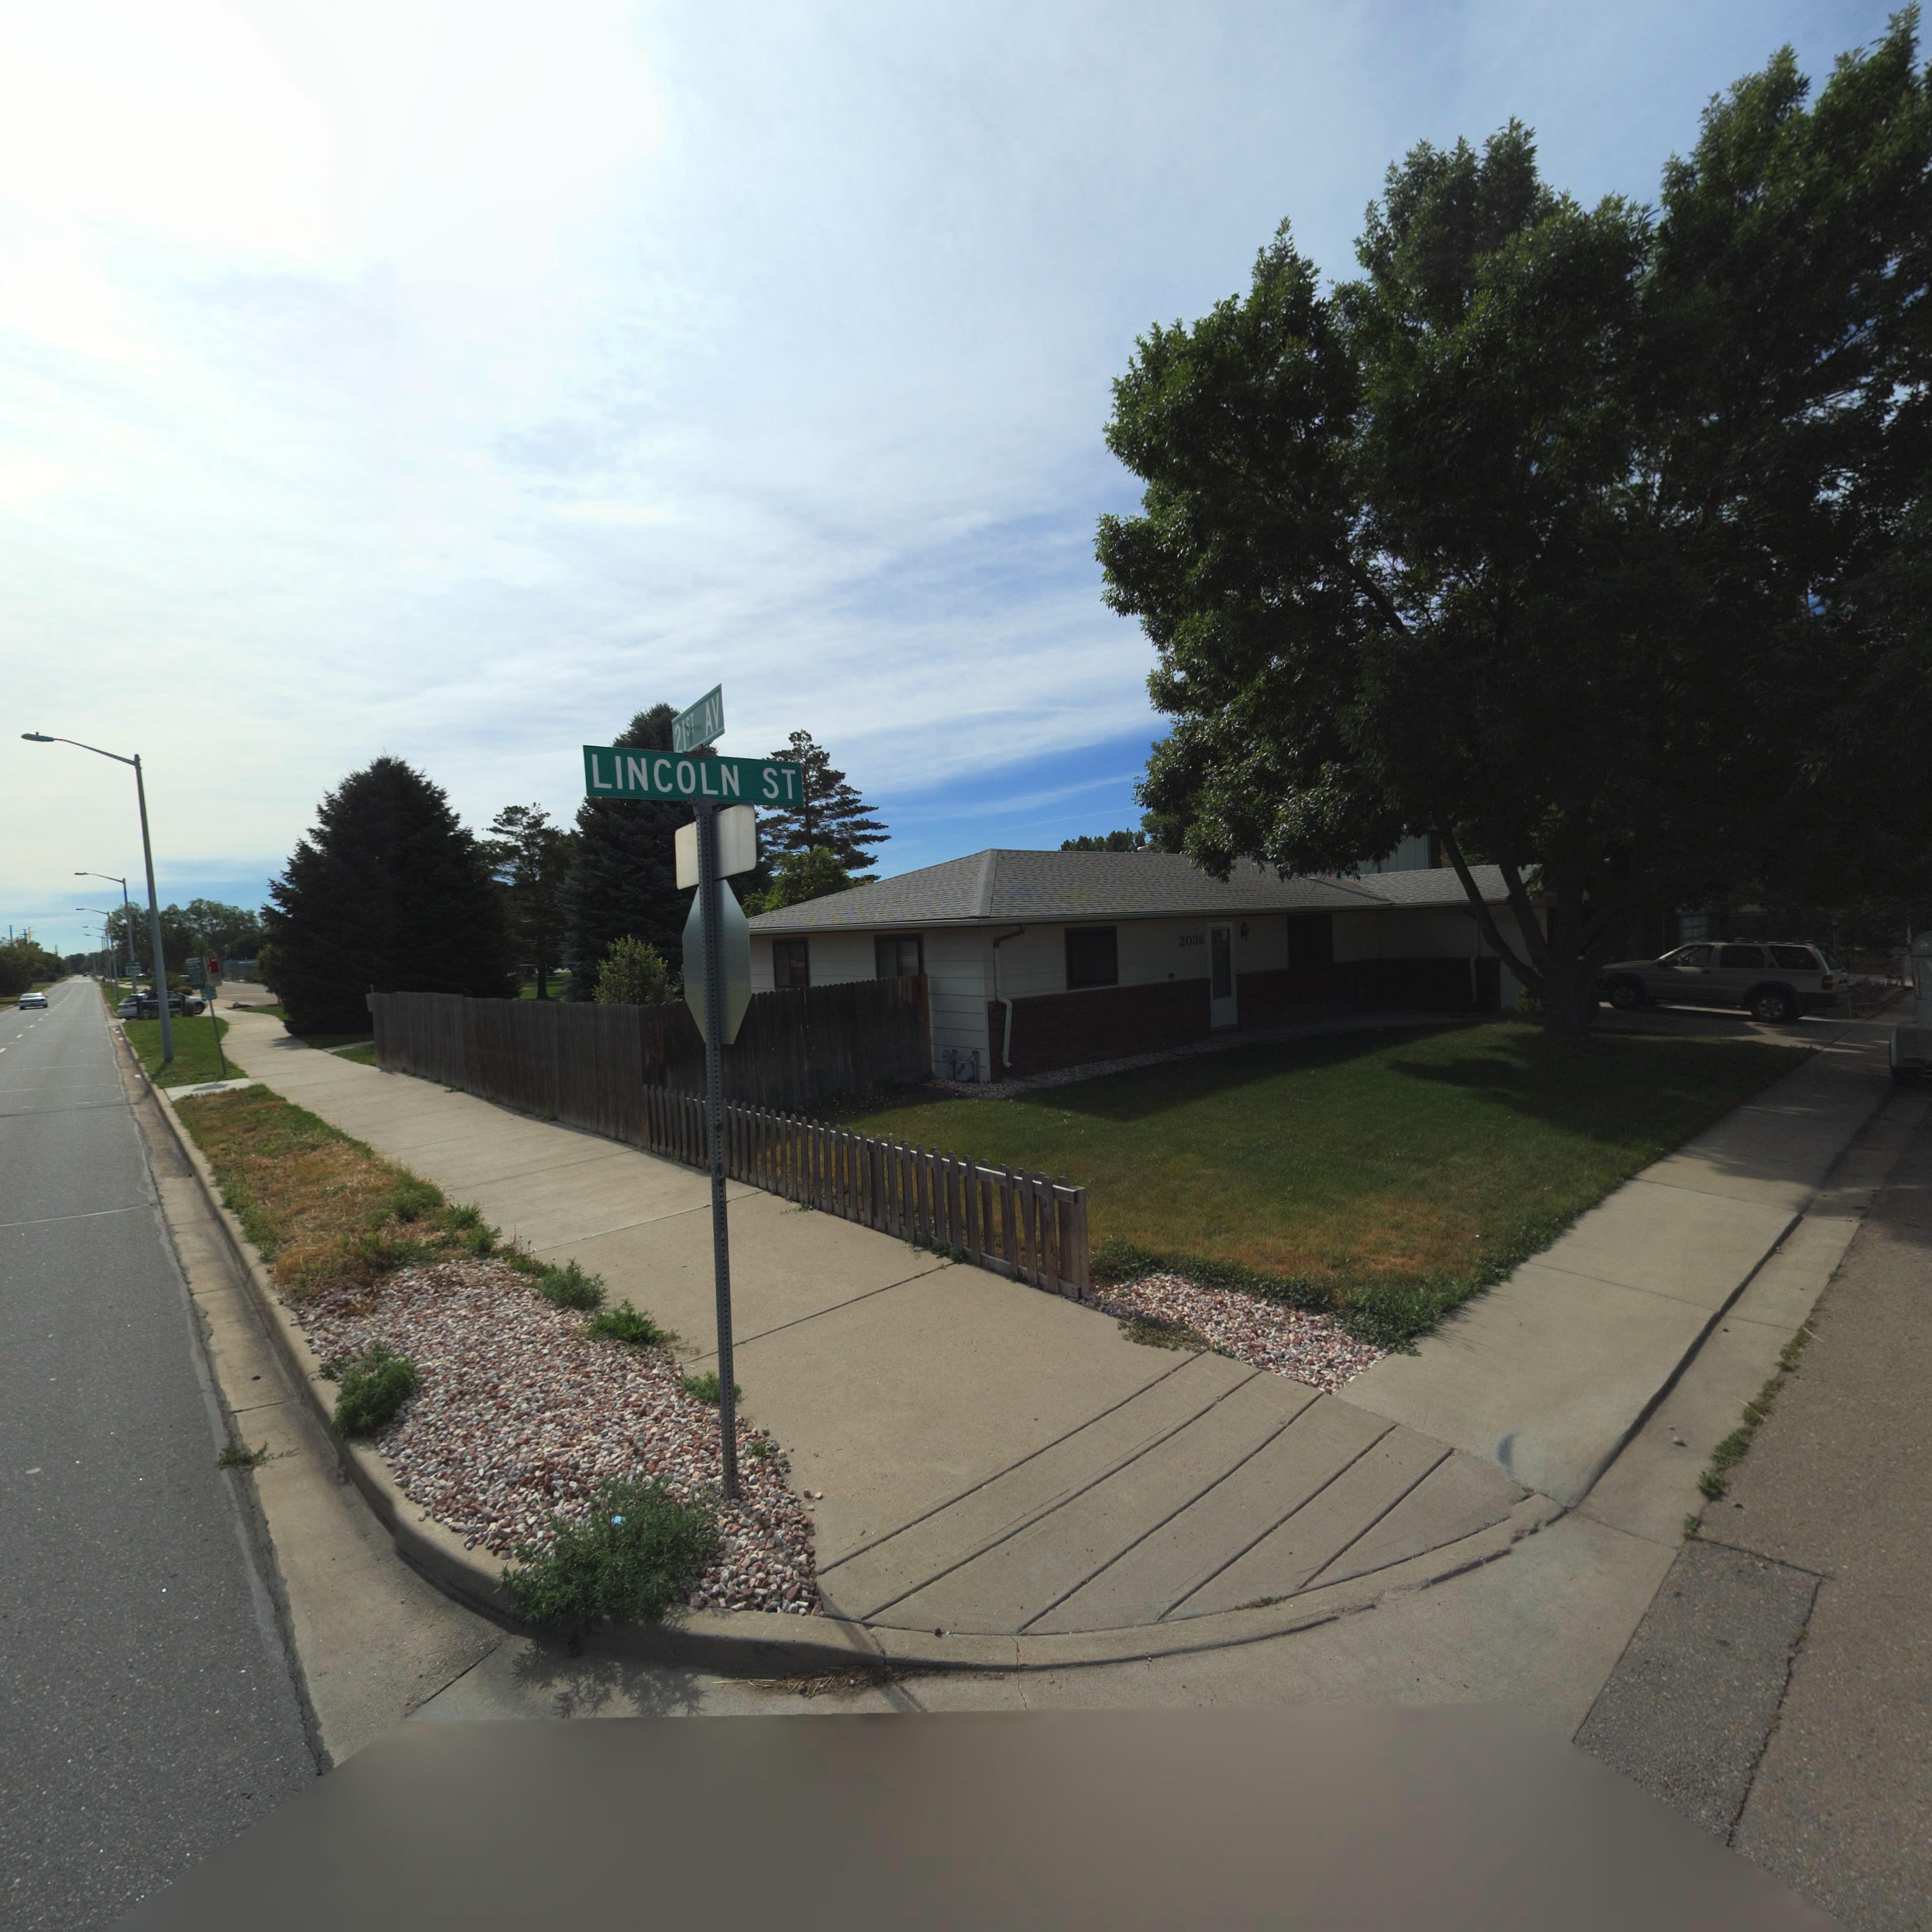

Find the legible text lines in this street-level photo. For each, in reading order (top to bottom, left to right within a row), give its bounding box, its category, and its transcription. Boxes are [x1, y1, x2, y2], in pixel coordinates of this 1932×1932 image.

[672, 690, 720, 754] StreetName: 21ST AV
[590, 753, 796, 800] StreetName: LINCOLN ST
[1179, 934, 1205, 947] StreetNumber: 2036